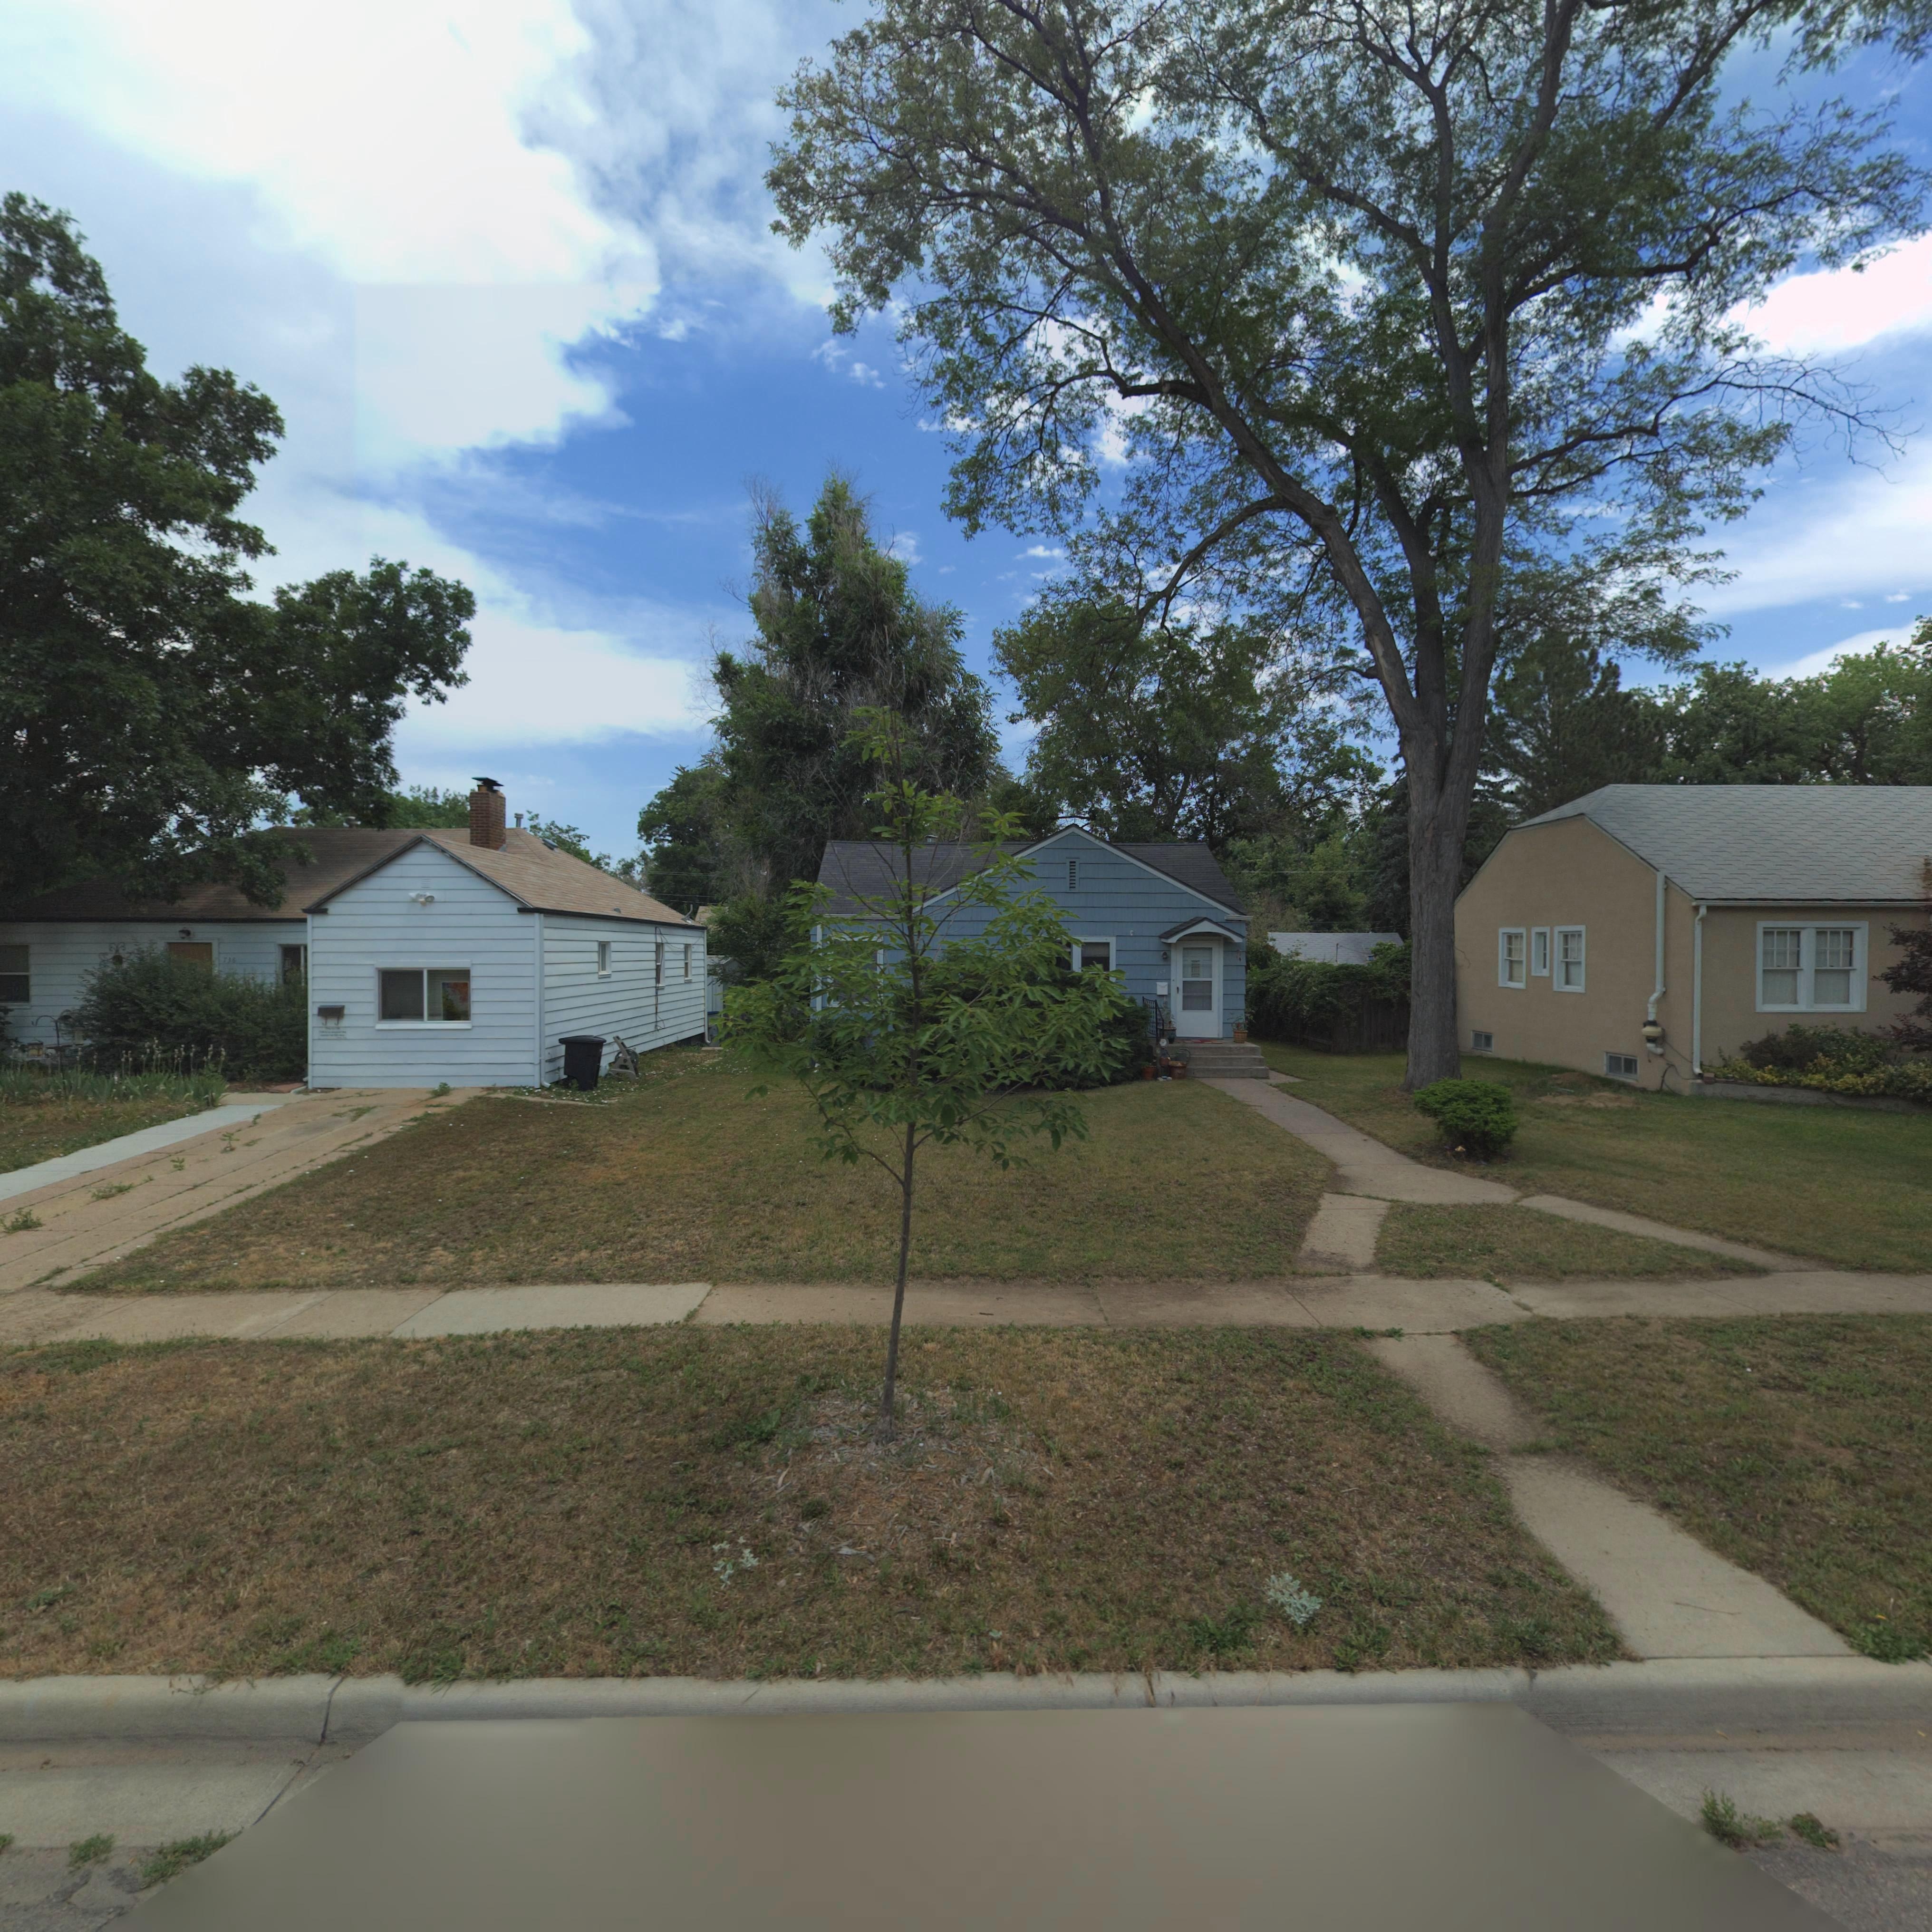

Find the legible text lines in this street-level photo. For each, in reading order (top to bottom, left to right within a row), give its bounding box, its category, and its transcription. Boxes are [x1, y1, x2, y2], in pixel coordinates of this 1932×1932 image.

[223, 956, 236, 963] StreetNumber: 736
[1154, 968, 1166, 977] StreetNumber: 7**